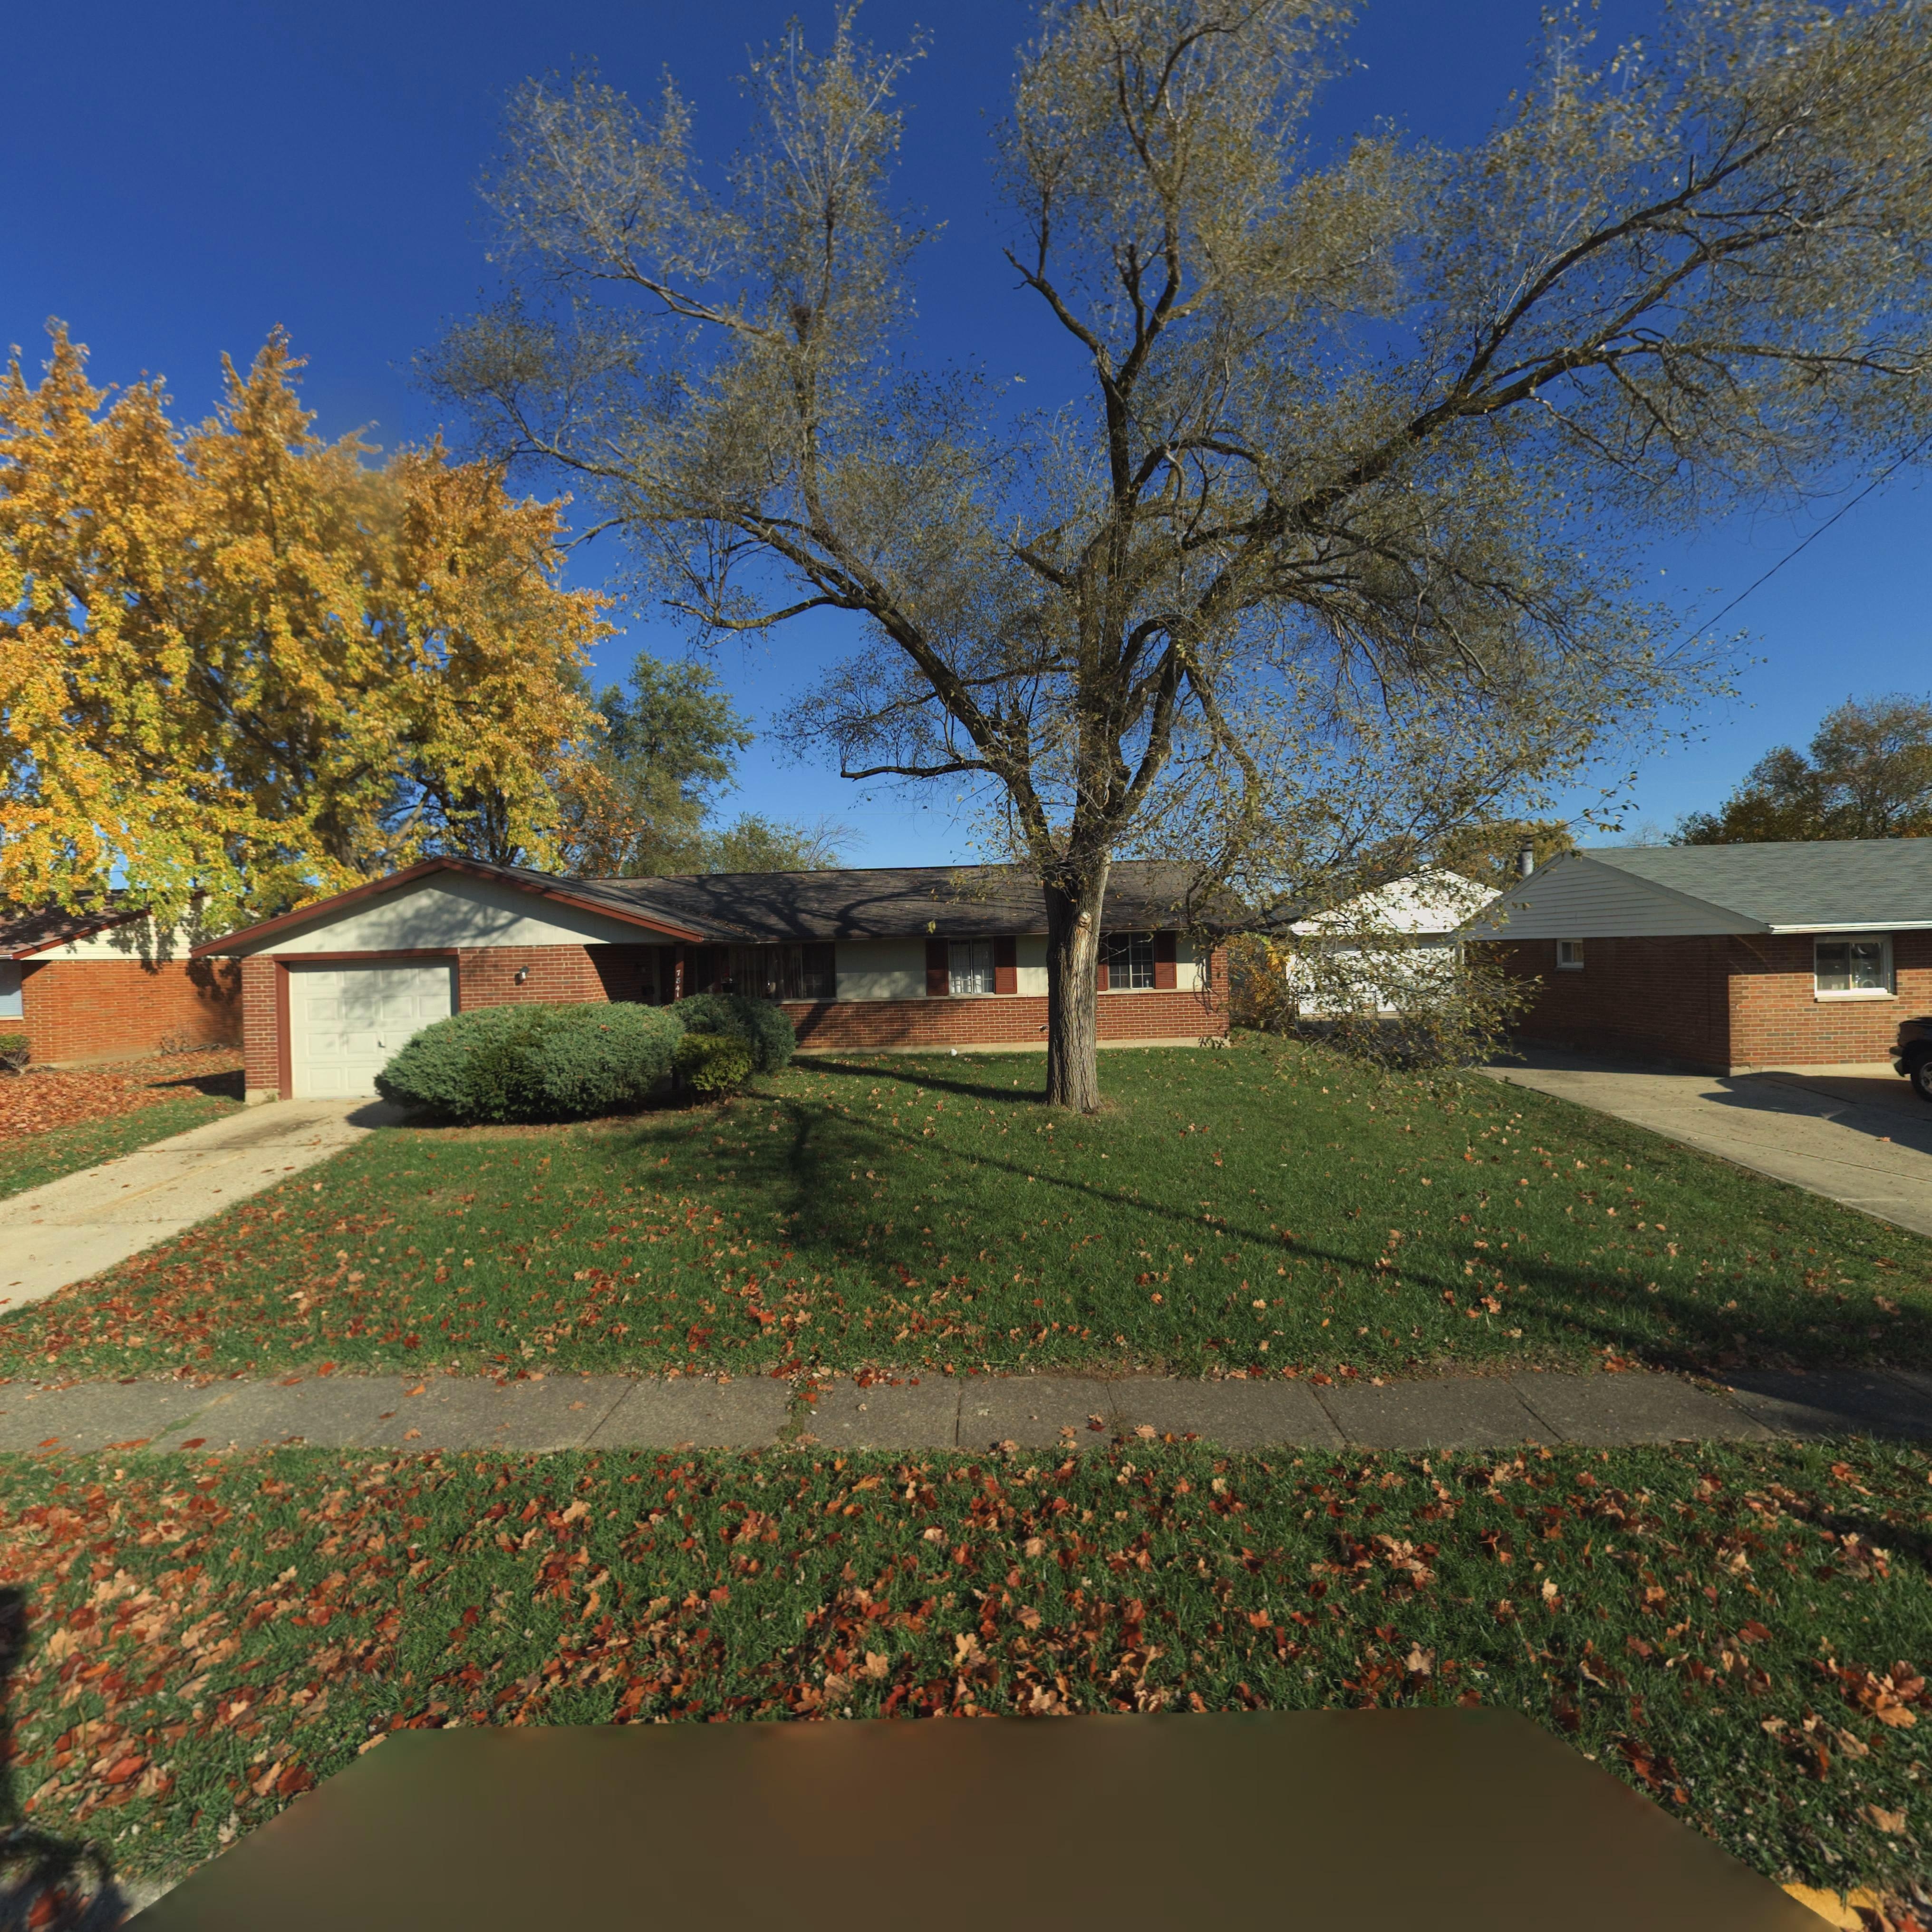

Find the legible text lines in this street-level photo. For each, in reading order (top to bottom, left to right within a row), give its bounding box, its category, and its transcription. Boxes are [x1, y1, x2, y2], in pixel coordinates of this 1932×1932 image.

[675, 968, 682, 998] StreetNumber: 7841